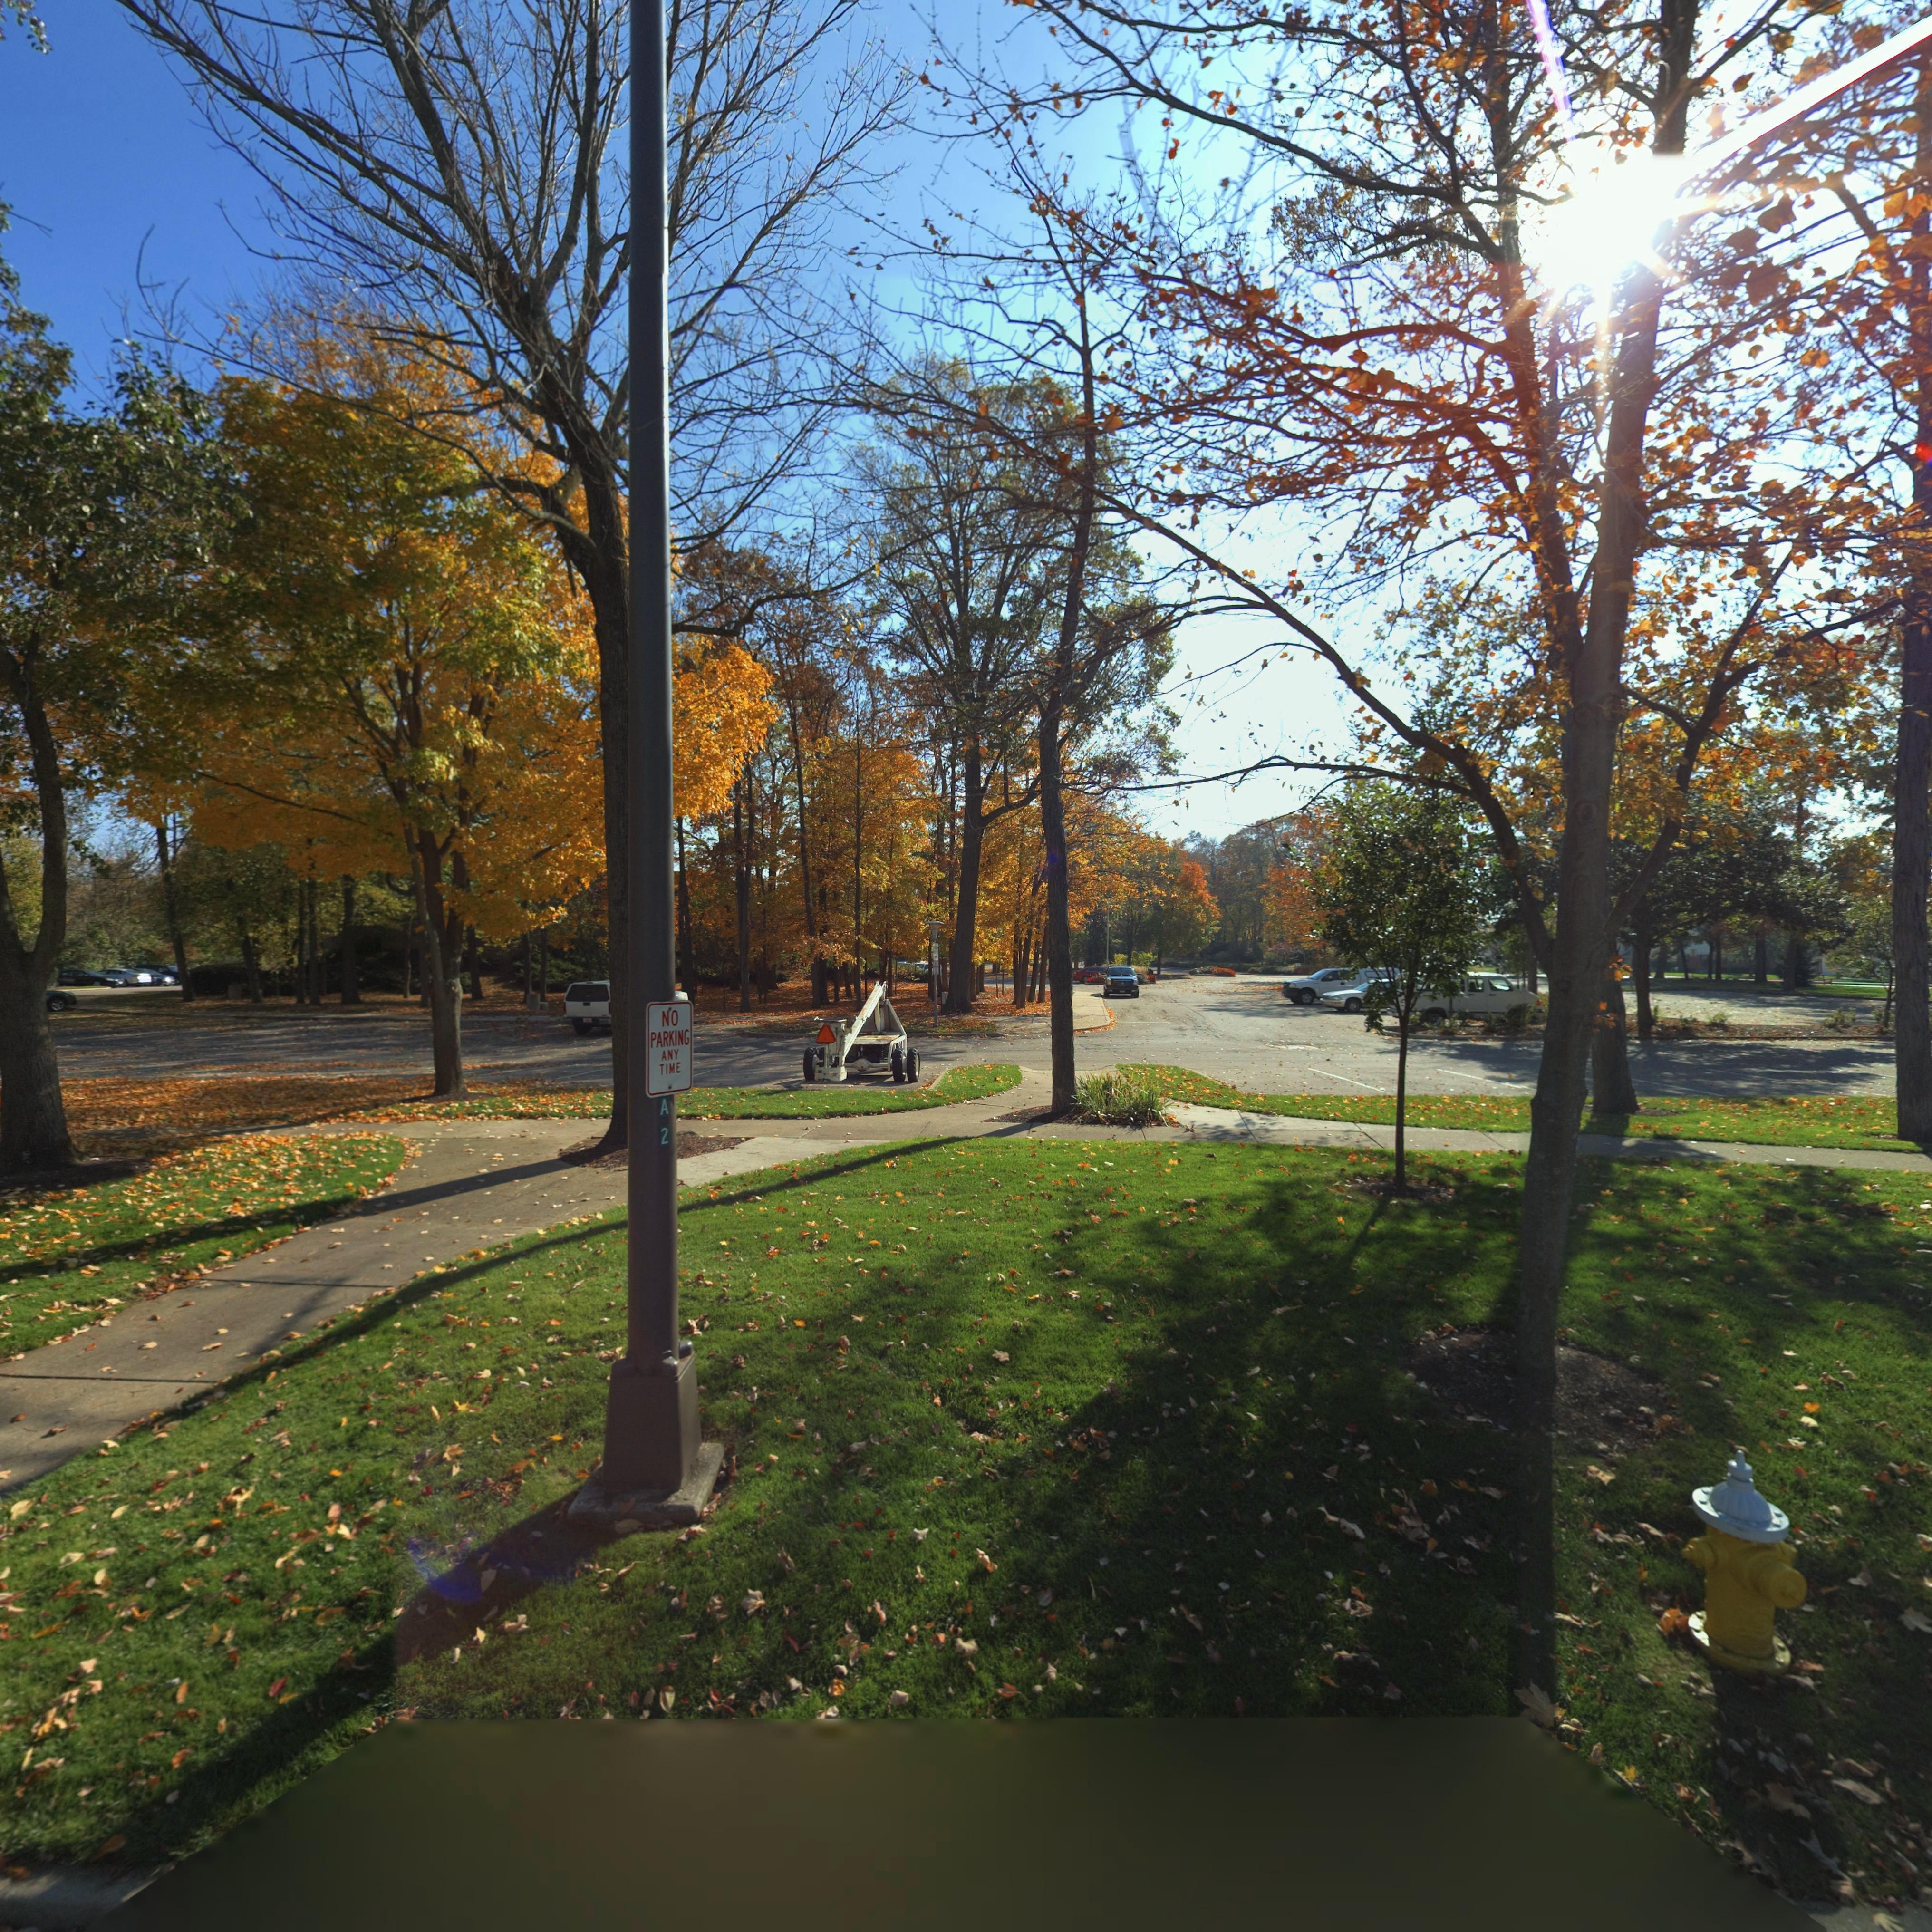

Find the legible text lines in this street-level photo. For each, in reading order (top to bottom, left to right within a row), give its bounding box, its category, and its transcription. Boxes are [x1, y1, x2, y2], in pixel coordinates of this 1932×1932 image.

[661, 1009, 678, 1027] None: NO
[650, 1028, 690, 1049] None: PARKING
[661, 1048, 680, 1062] None: ANY
[659, 1061, 681, 1076] None: TIME
[659, 1098, 671, 1116] None: A
[659, 1127, 670, 1145] None: 2